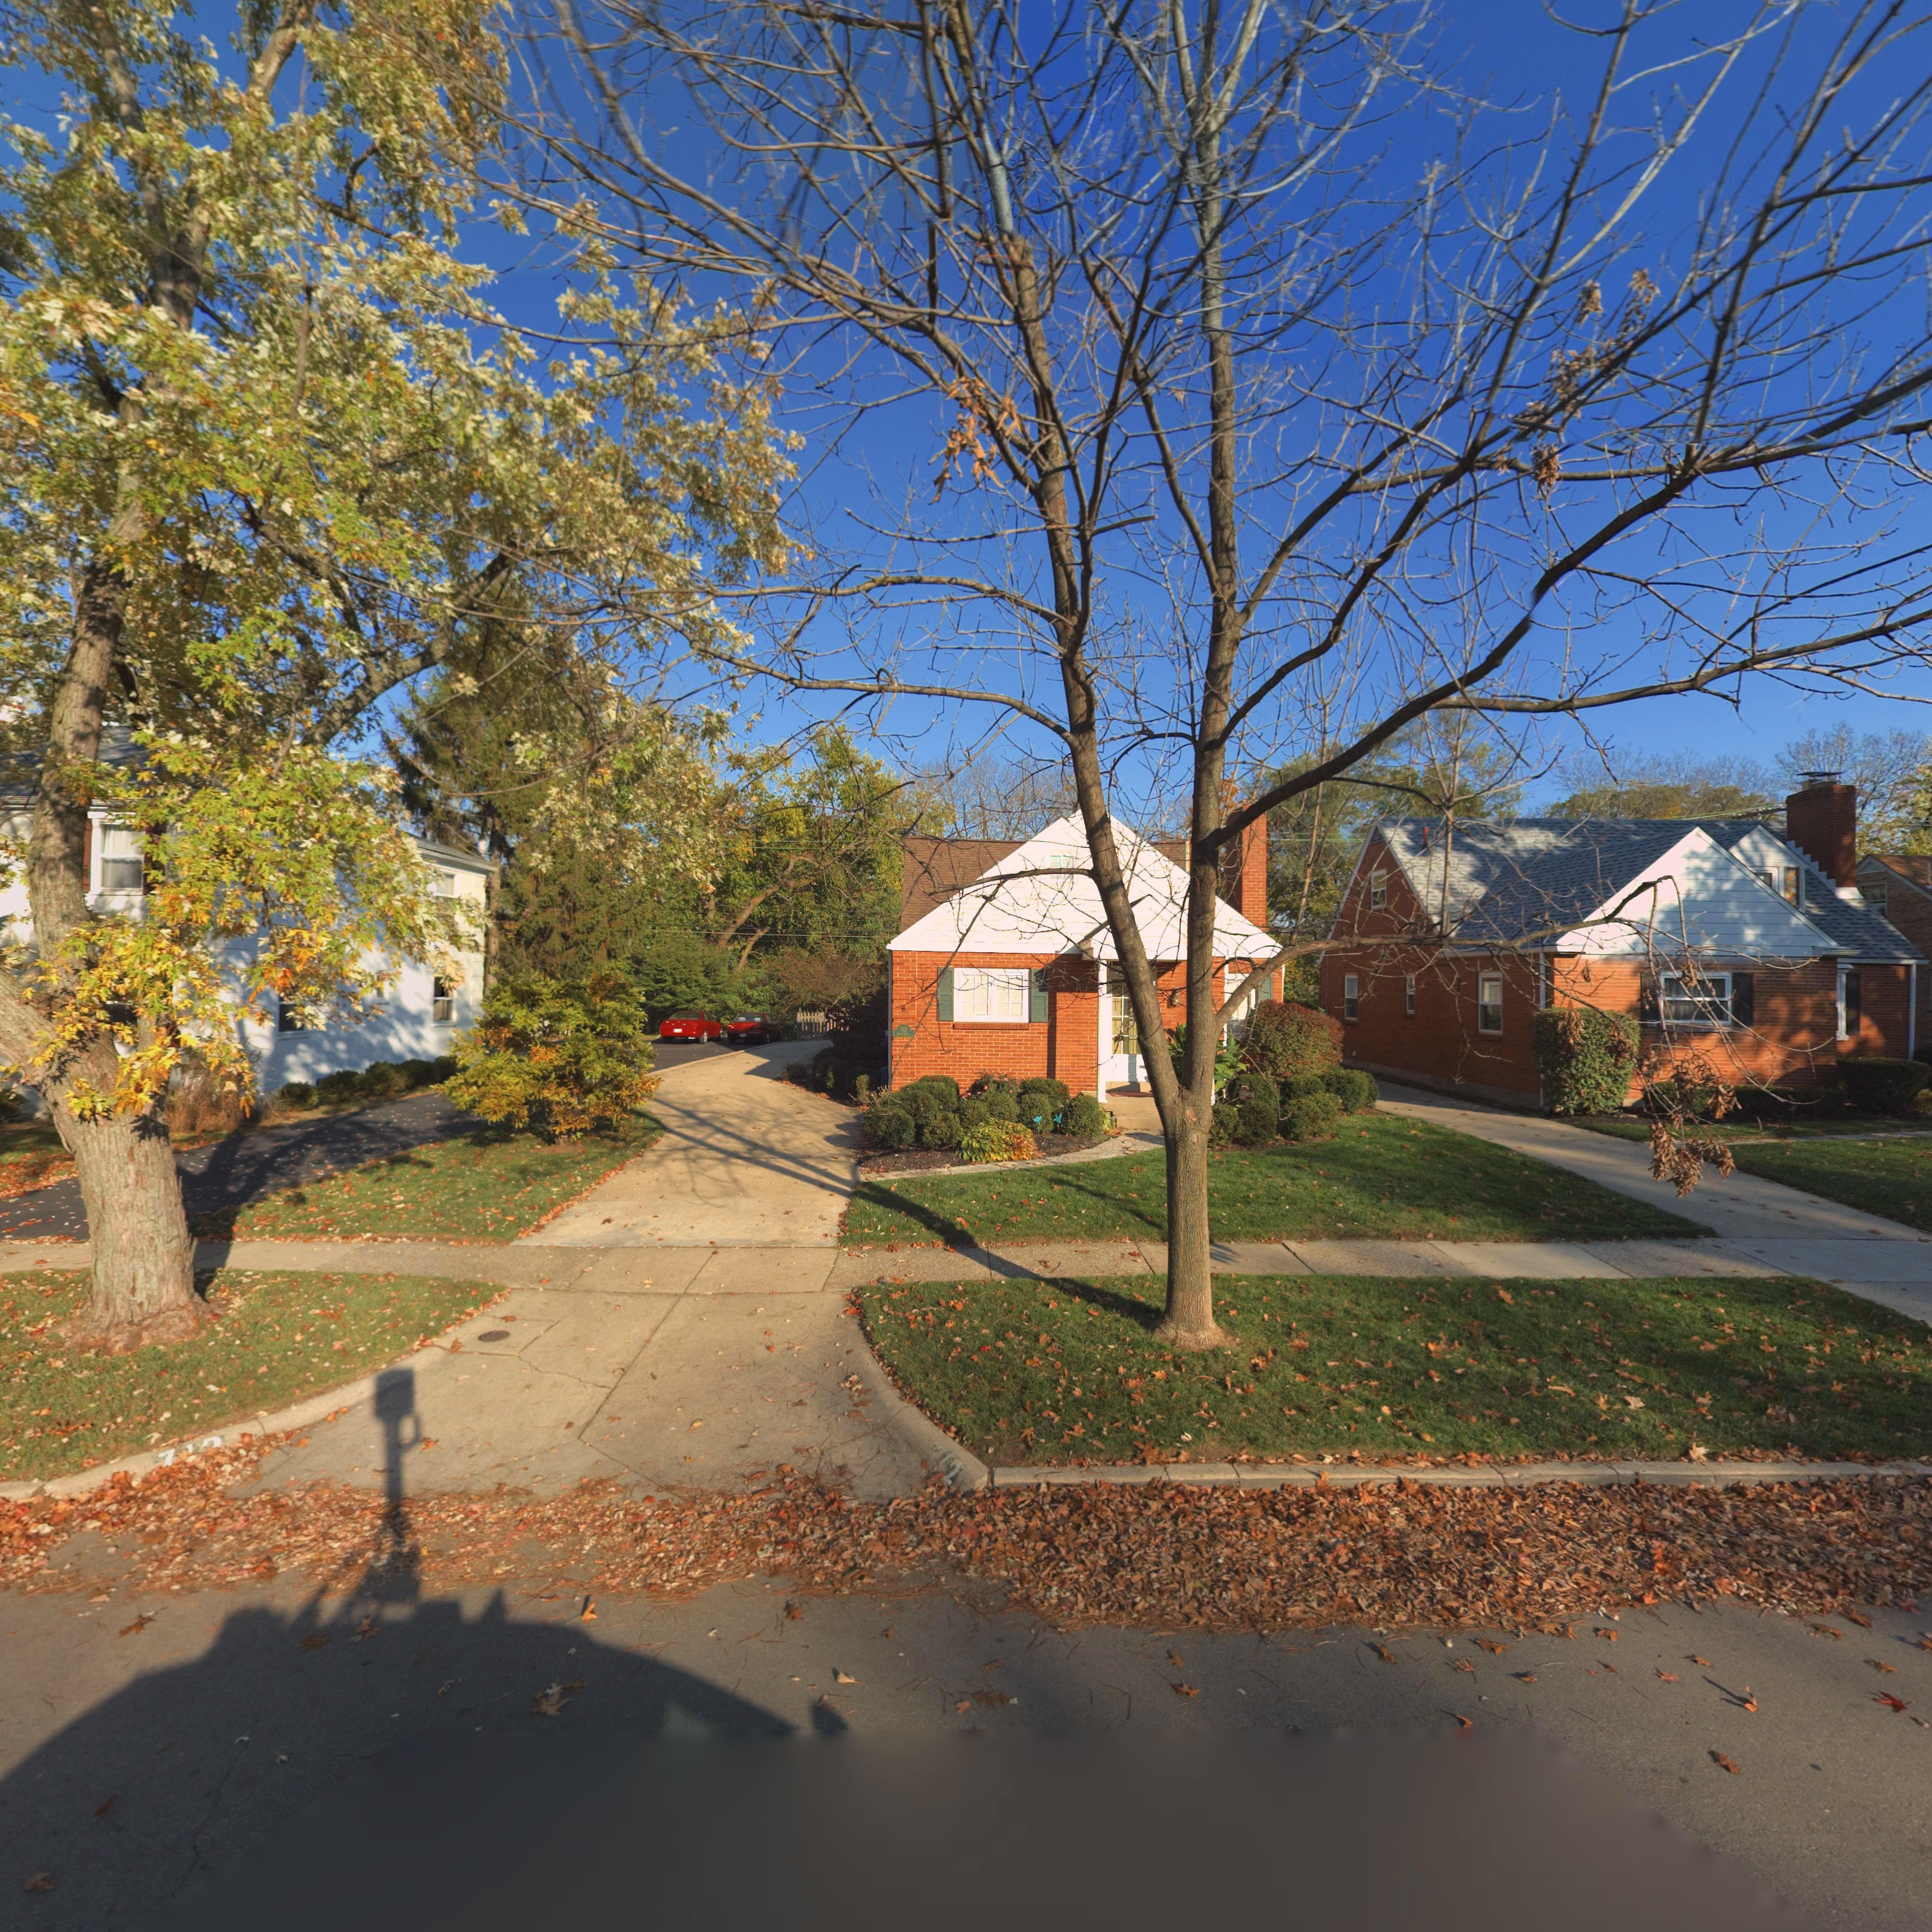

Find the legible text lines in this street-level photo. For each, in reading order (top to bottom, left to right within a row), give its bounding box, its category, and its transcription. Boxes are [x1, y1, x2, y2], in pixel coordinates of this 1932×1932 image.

[900, 1026, 907, 1032] StreetNumber: 712